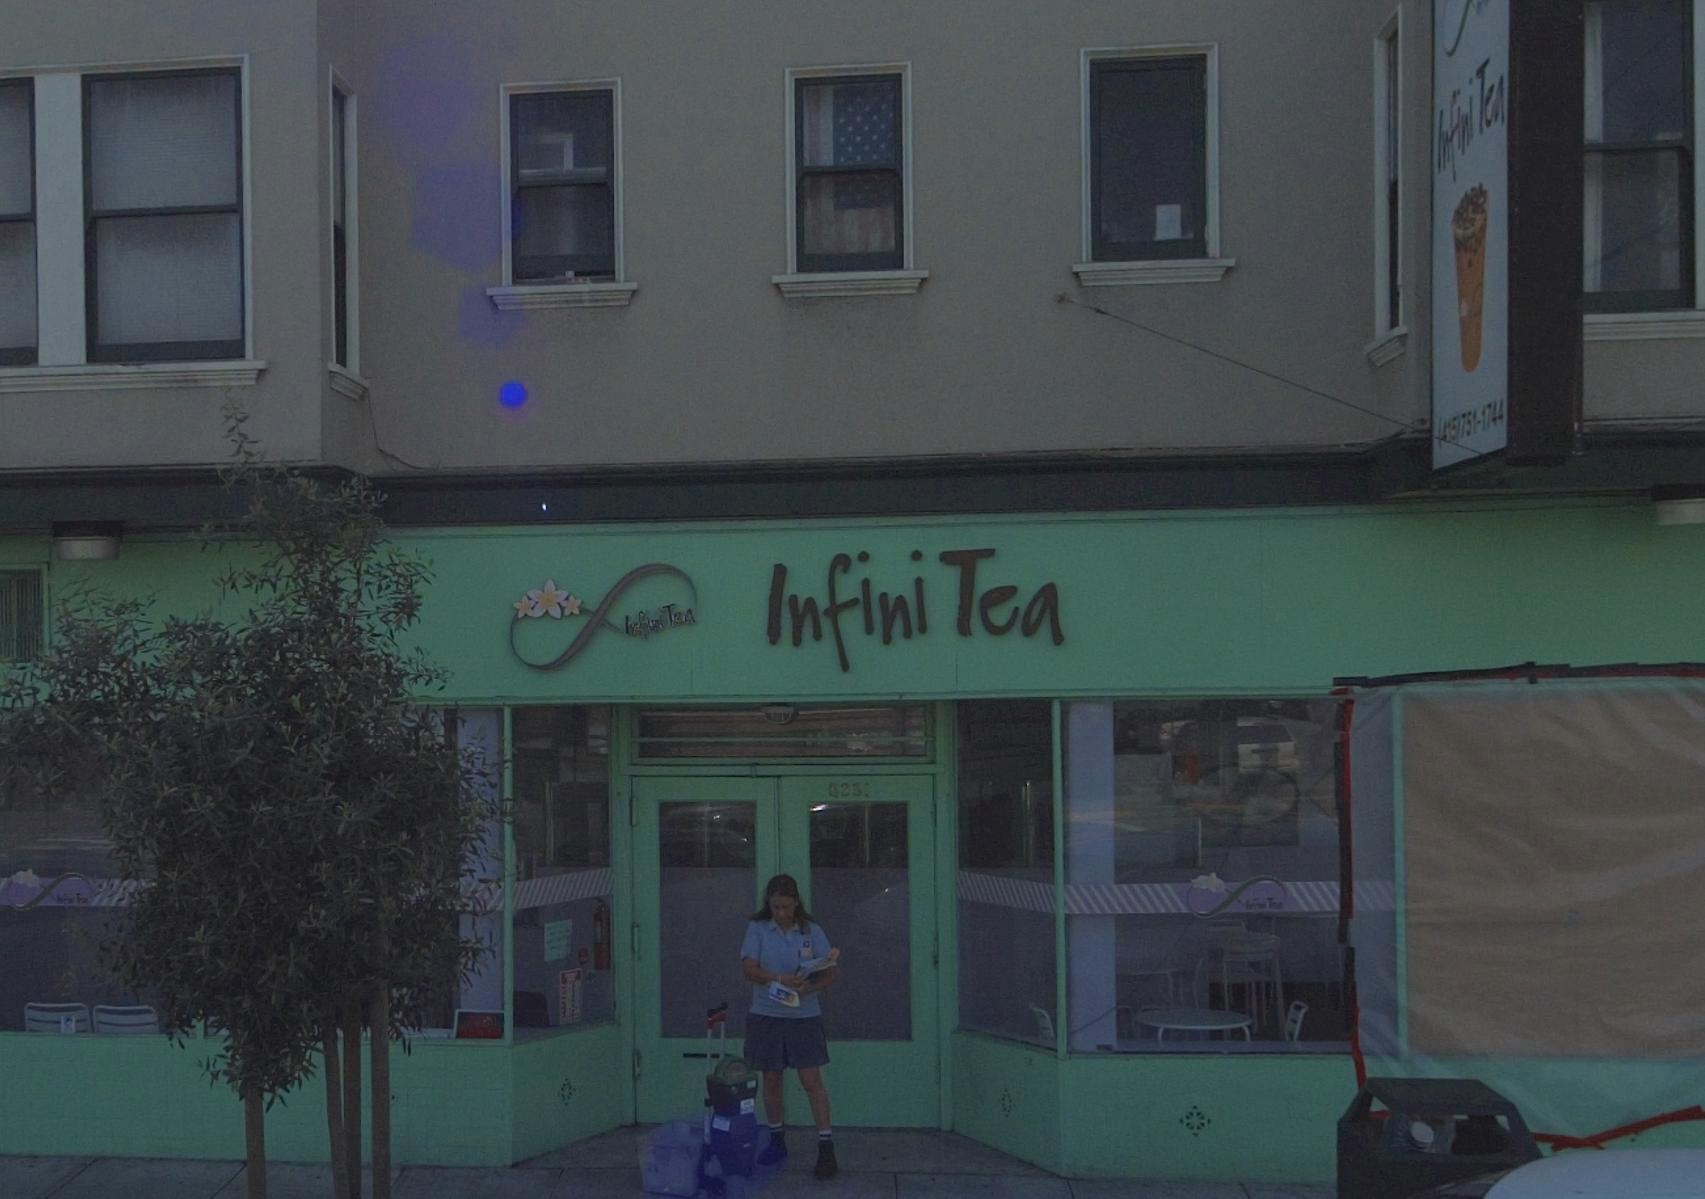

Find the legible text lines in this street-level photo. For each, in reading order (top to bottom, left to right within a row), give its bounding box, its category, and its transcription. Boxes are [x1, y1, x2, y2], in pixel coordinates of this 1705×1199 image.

[1435, 52, 1507, 188] BusinessName: Infini Tea
[1435, 392, 1509, 453] None: (415)751-1744
[622, 598, 702, 647] BusinessName: I*f*** Tea
[762, 545, 1070, 675] BusinessName: Infini Tea
[824, 780, 879, 801] StreetNumber: 523*